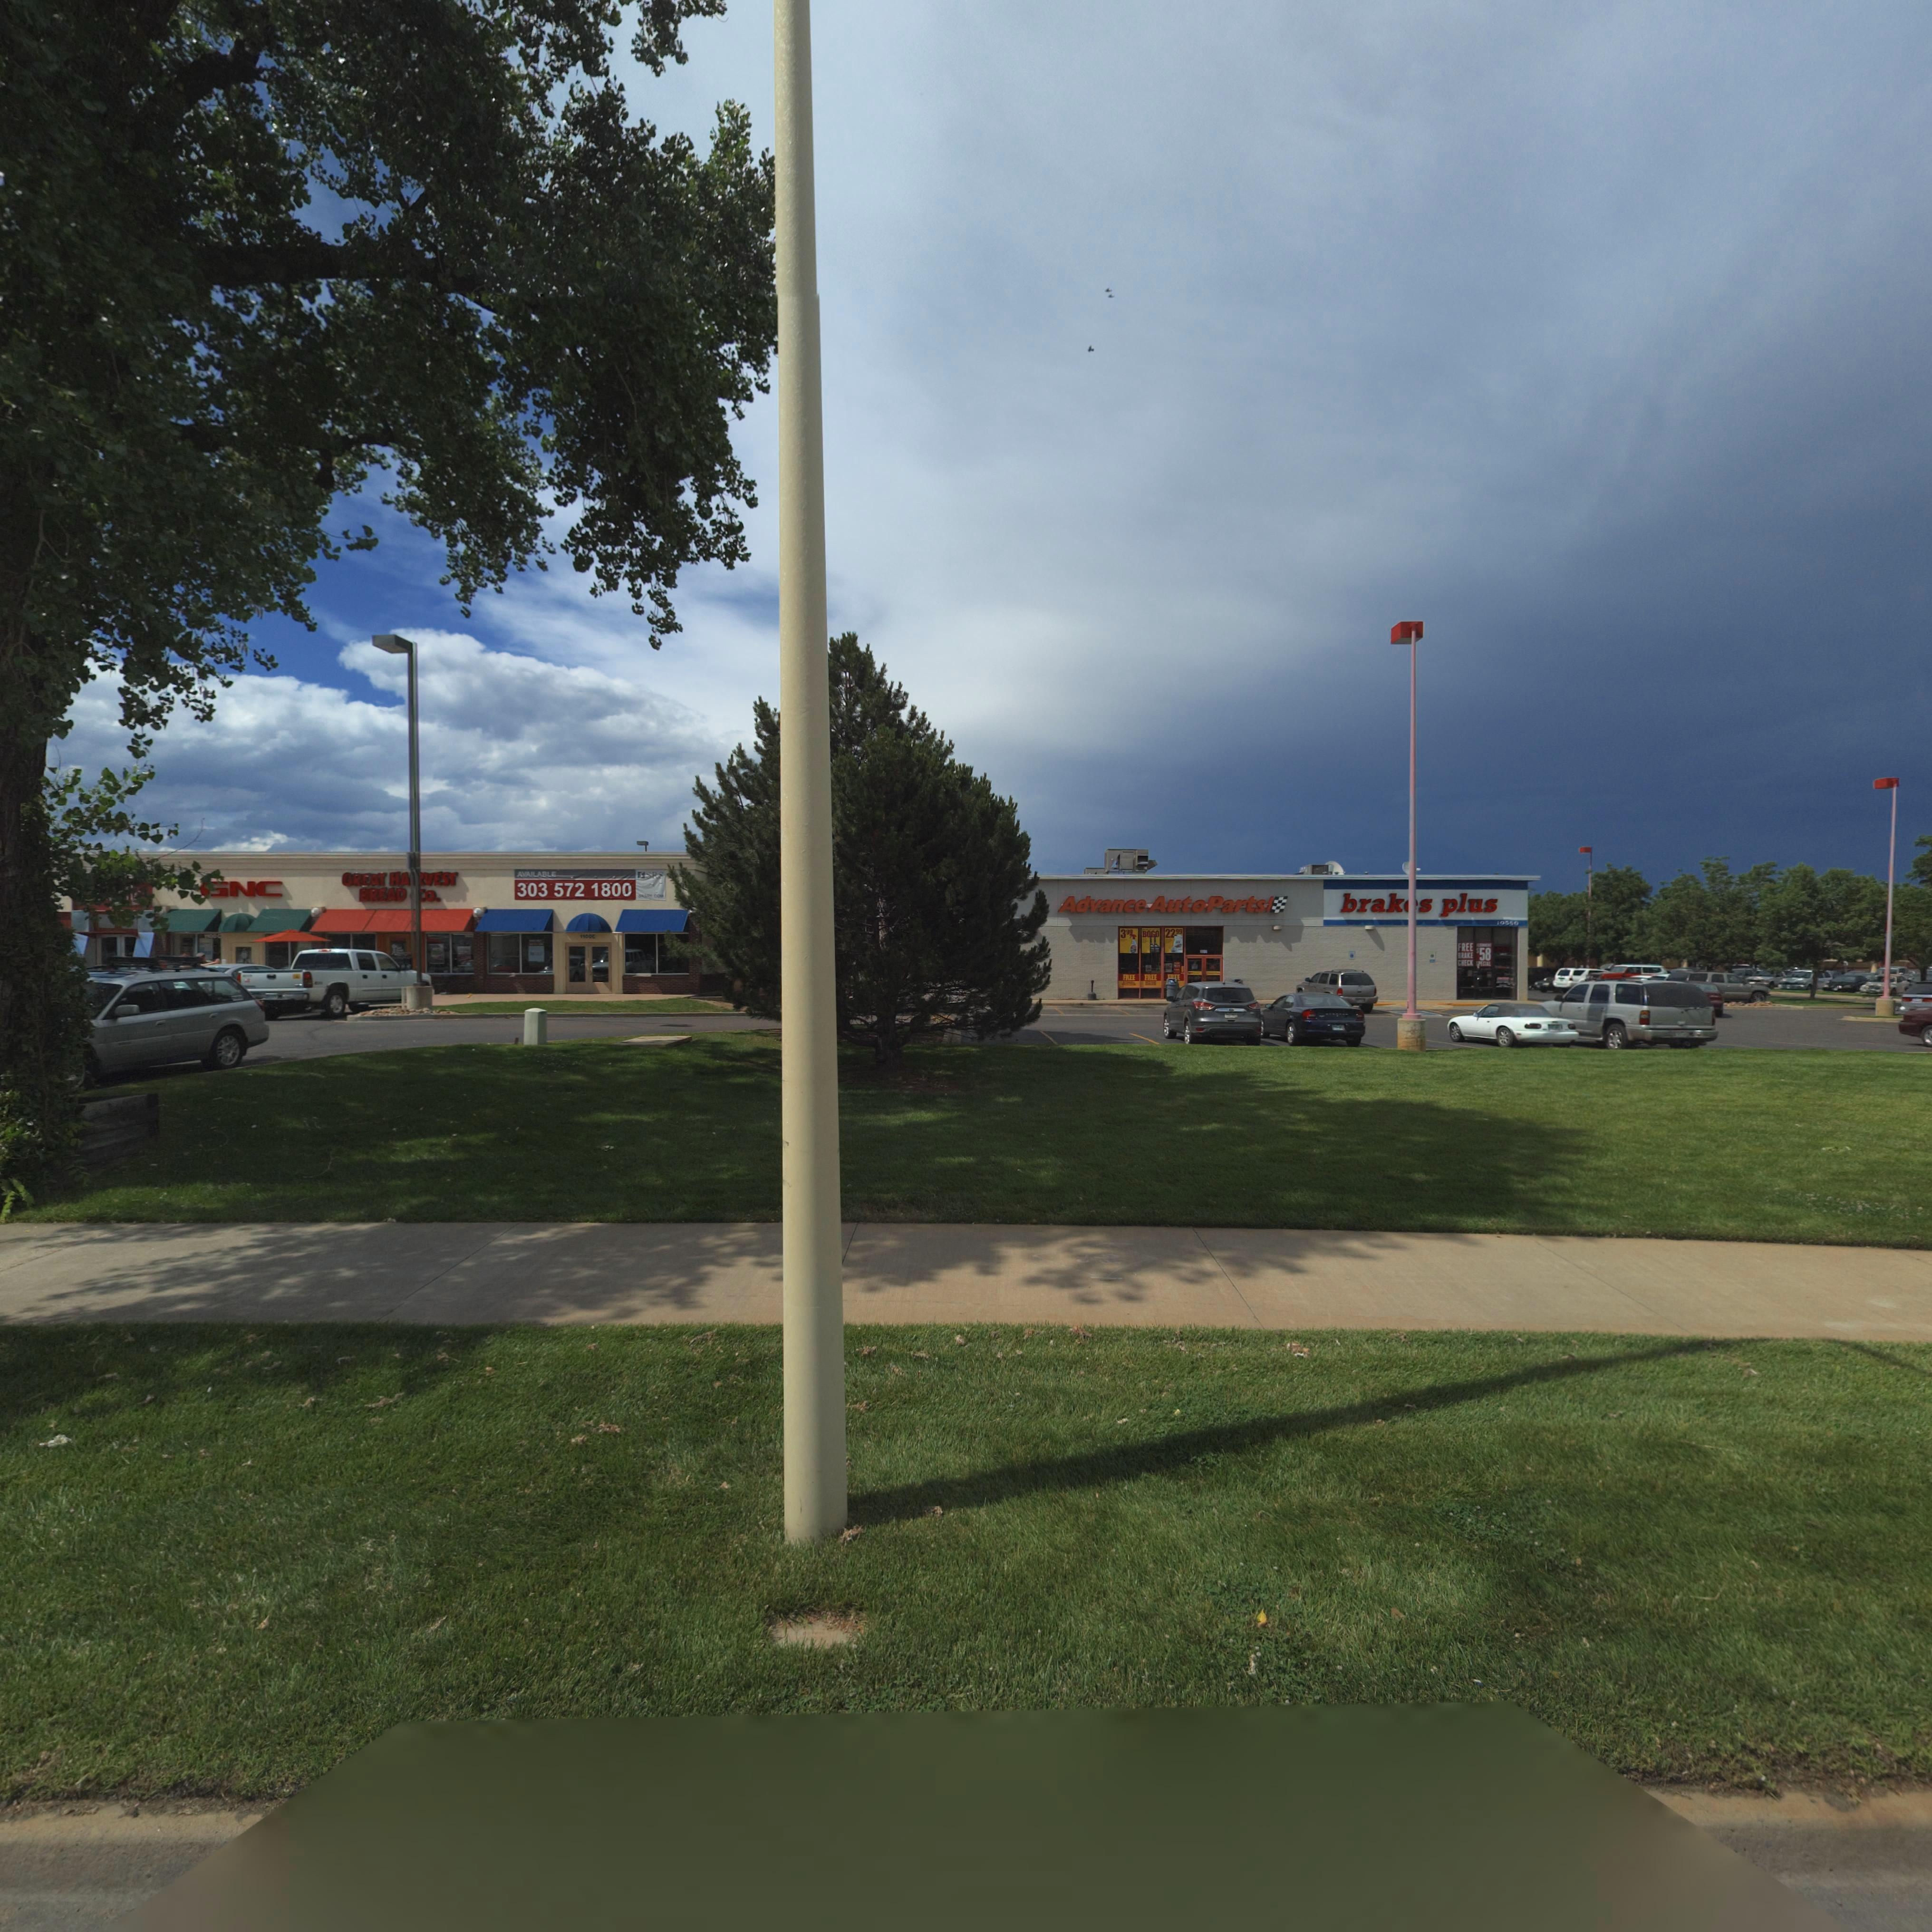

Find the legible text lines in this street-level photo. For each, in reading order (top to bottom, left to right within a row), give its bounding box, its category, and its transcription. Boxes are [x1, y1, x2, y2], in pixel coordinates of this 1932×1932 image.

[341, 871, 459, 886] BusinessName: GREAT HA*VEST
[200, 880, 282, 898] BusinessName: *NC
[358, 887, 440, 902] BusinessName: BREAD *Co.
[1057, 895, 1266, 913] BusinessName: Advance Auto Parts
[1340, 892, 1498, 917] BusinessName: brak*s plus
[1496, 920, 1519, 926] StreetNumber: 10550
[203, 934, 217, 939] StreetNumber: 1100
[217, 933, 222, 938] SecondaryUnitDesignator: C
[580, 934, 592, 938] StreetNumber: 1100
[592, 934, 595, 938] SecondaryUnitDesignator: E
[1199, 949, 1207, 953] StreetNumber: 1050